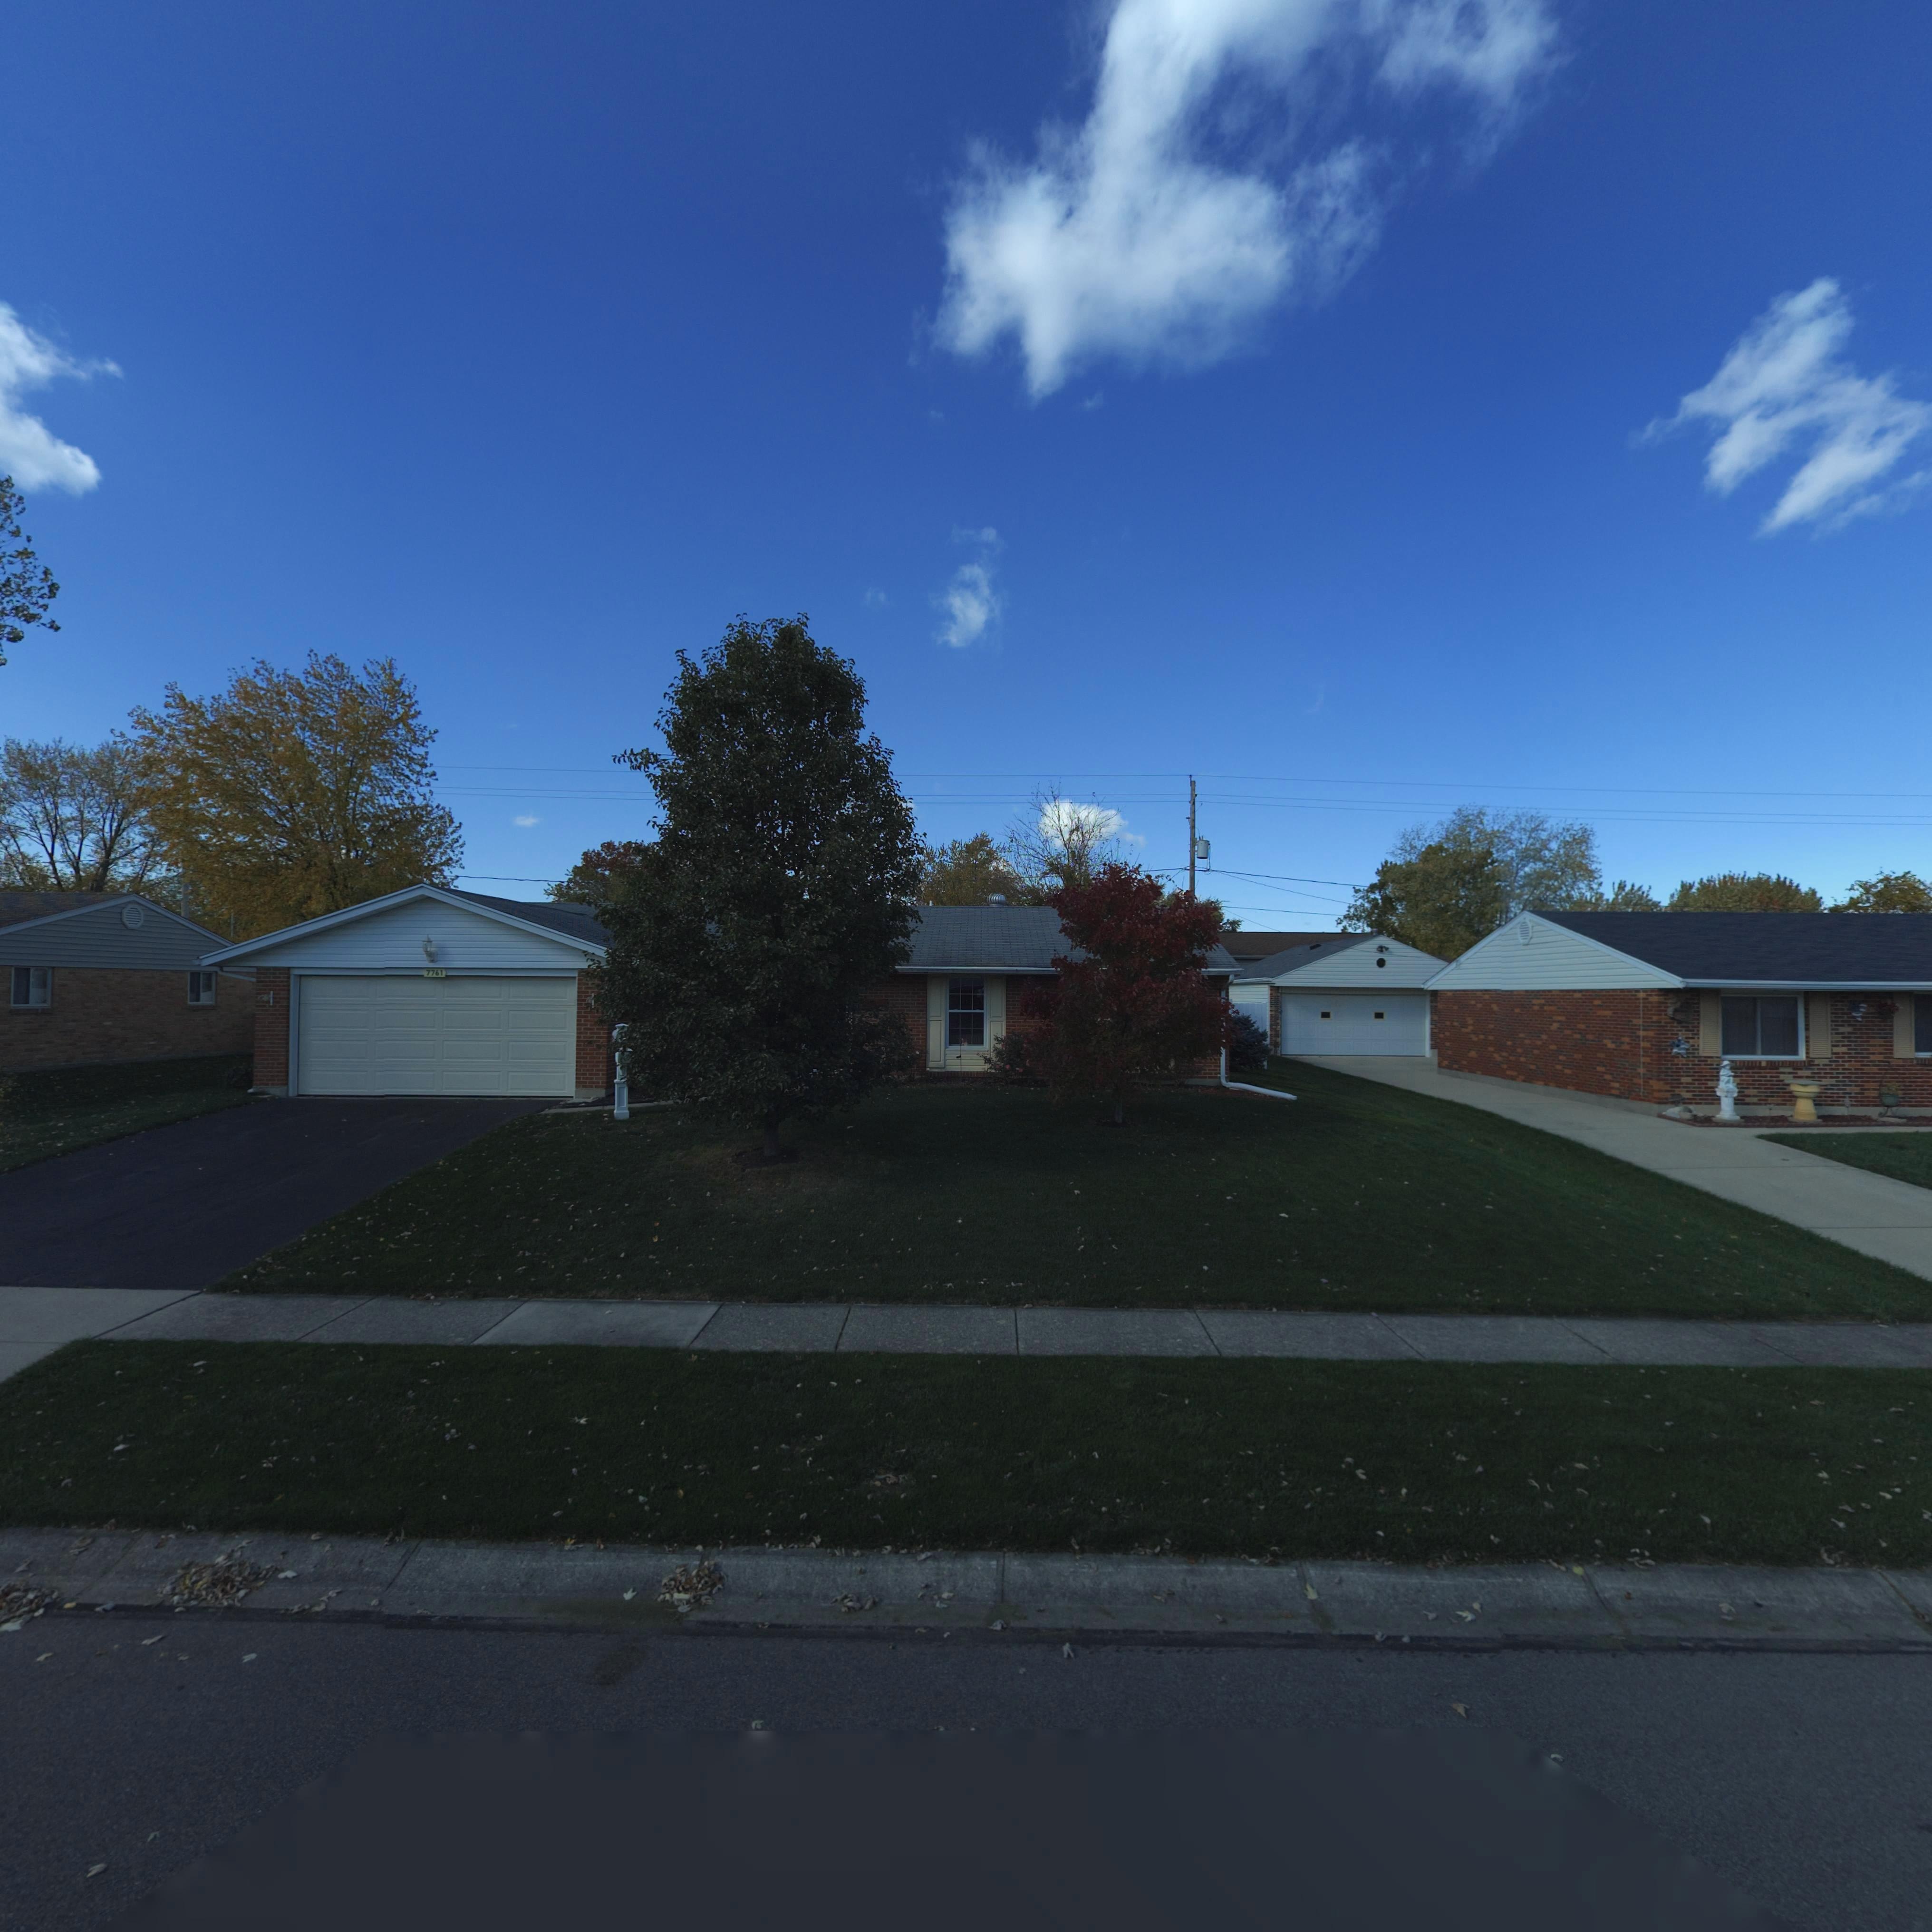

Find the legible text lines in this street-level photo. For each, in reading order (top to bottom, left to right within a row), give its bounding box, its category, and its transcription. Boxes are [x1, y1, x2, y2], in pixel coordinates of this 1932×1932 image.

[425, 968, 444, 977] StreetNumber: 7761